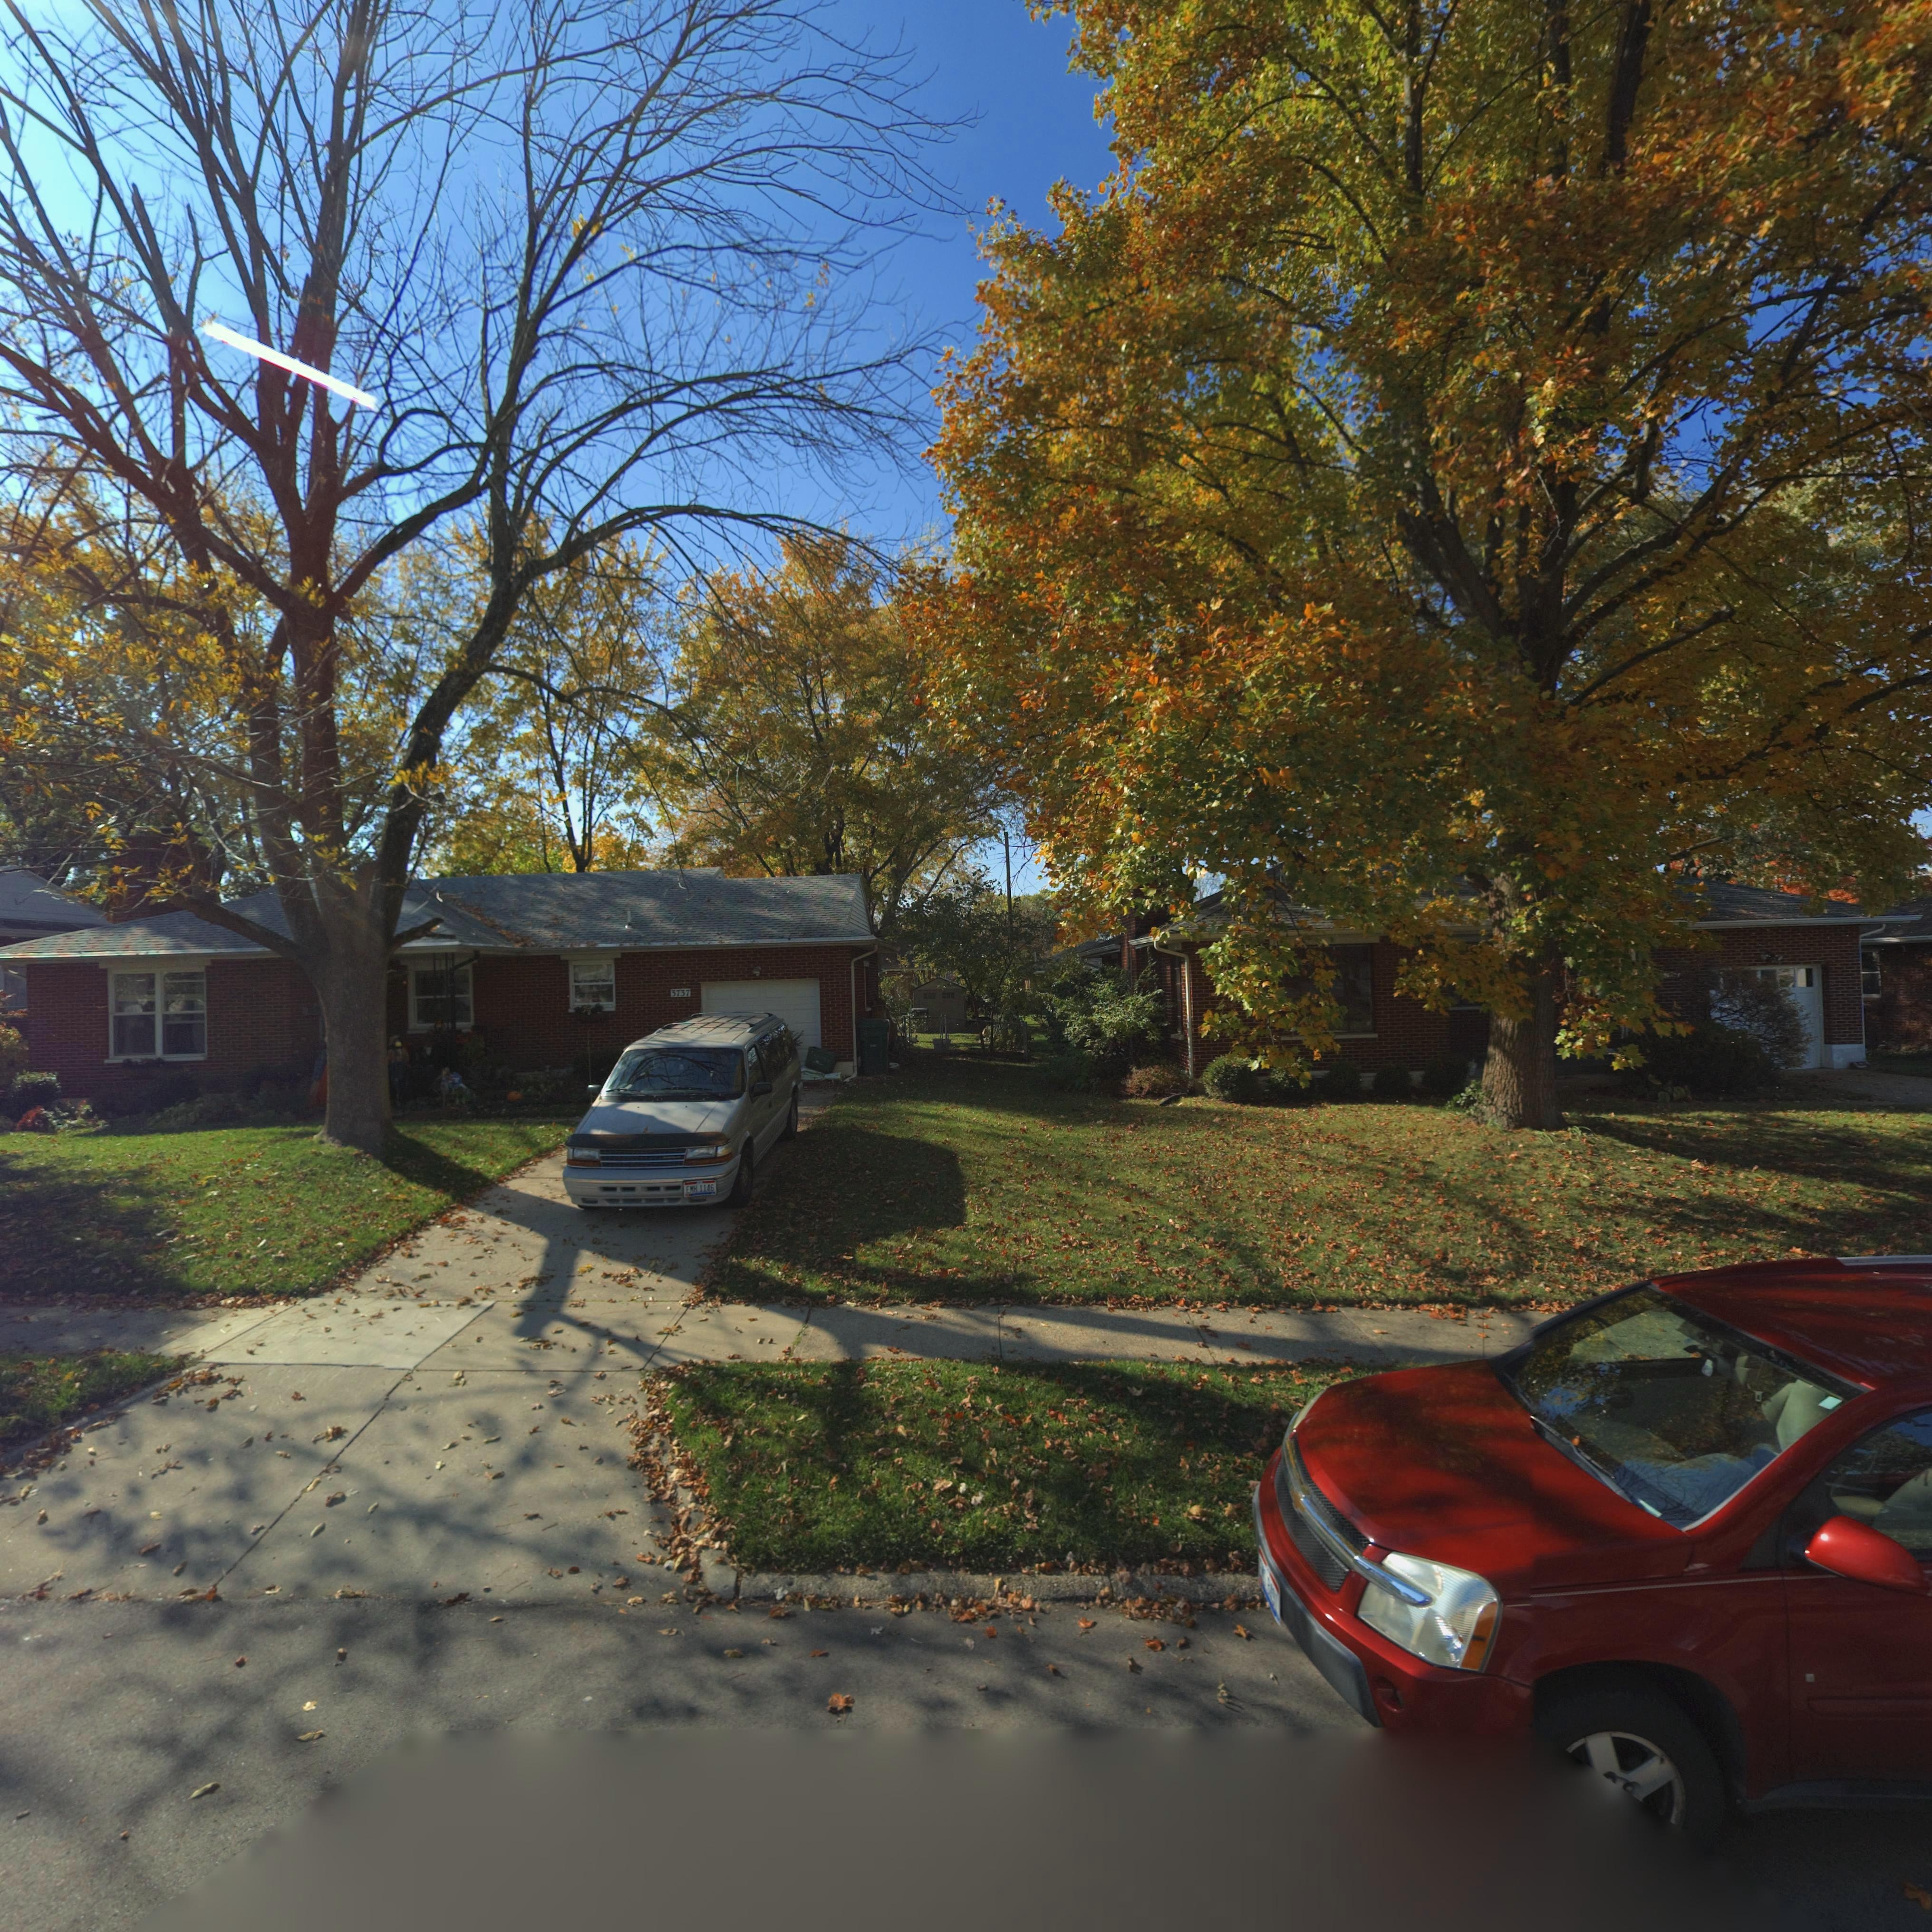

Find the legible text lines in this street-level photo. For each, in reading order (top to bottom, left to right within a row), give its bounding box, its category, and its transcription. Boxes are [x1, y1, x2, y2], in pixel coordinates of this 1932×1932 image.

[670, 988, 691, 997] StreetNumber: 3737
[685, 1182, 716, 1195] None: EMH 1146